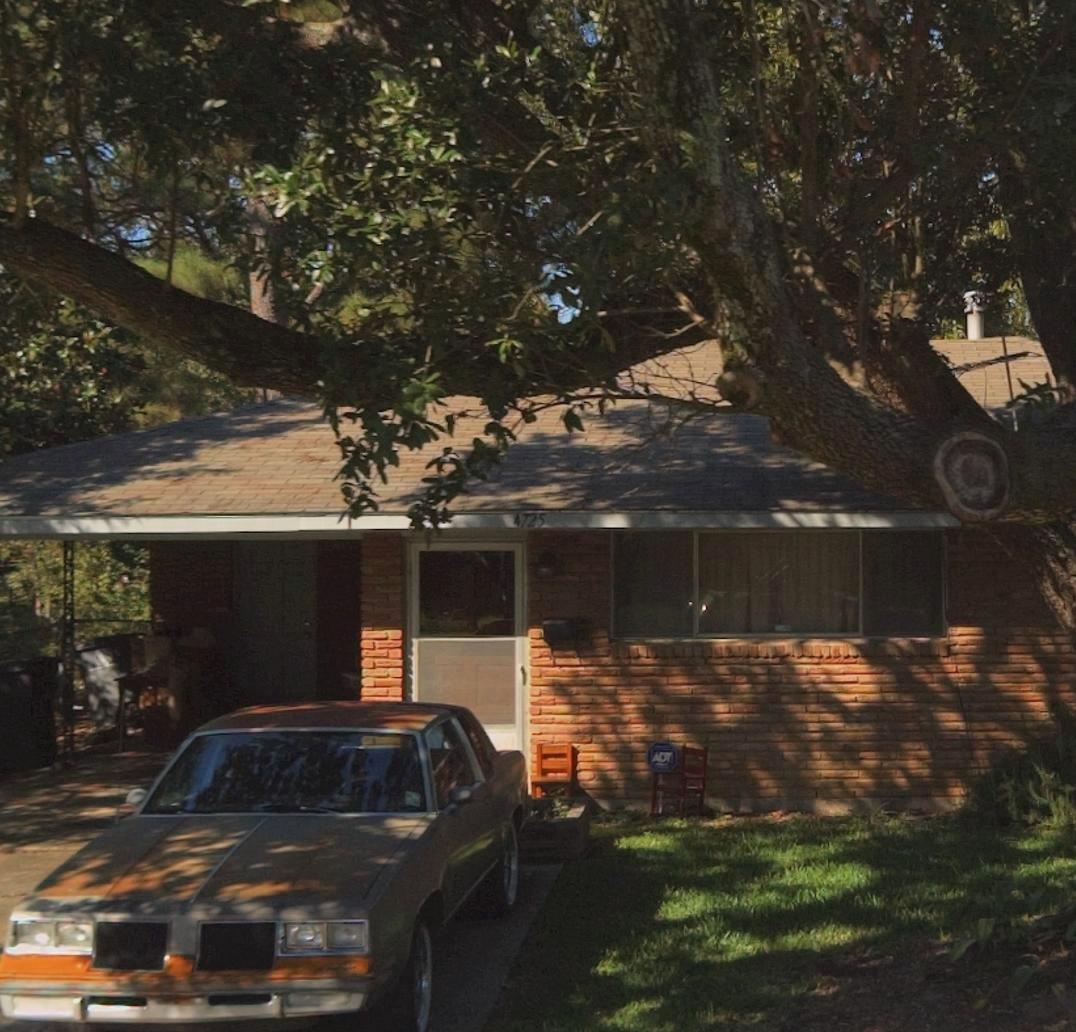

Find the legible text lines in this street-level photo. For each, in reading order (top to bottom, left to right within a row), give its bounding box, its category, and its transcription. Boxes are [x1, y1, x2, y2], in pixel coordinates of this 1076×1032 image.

[512, 511, 546, 529] StreetNumber: 4725
[650, 752, 673, 763] None: ADT